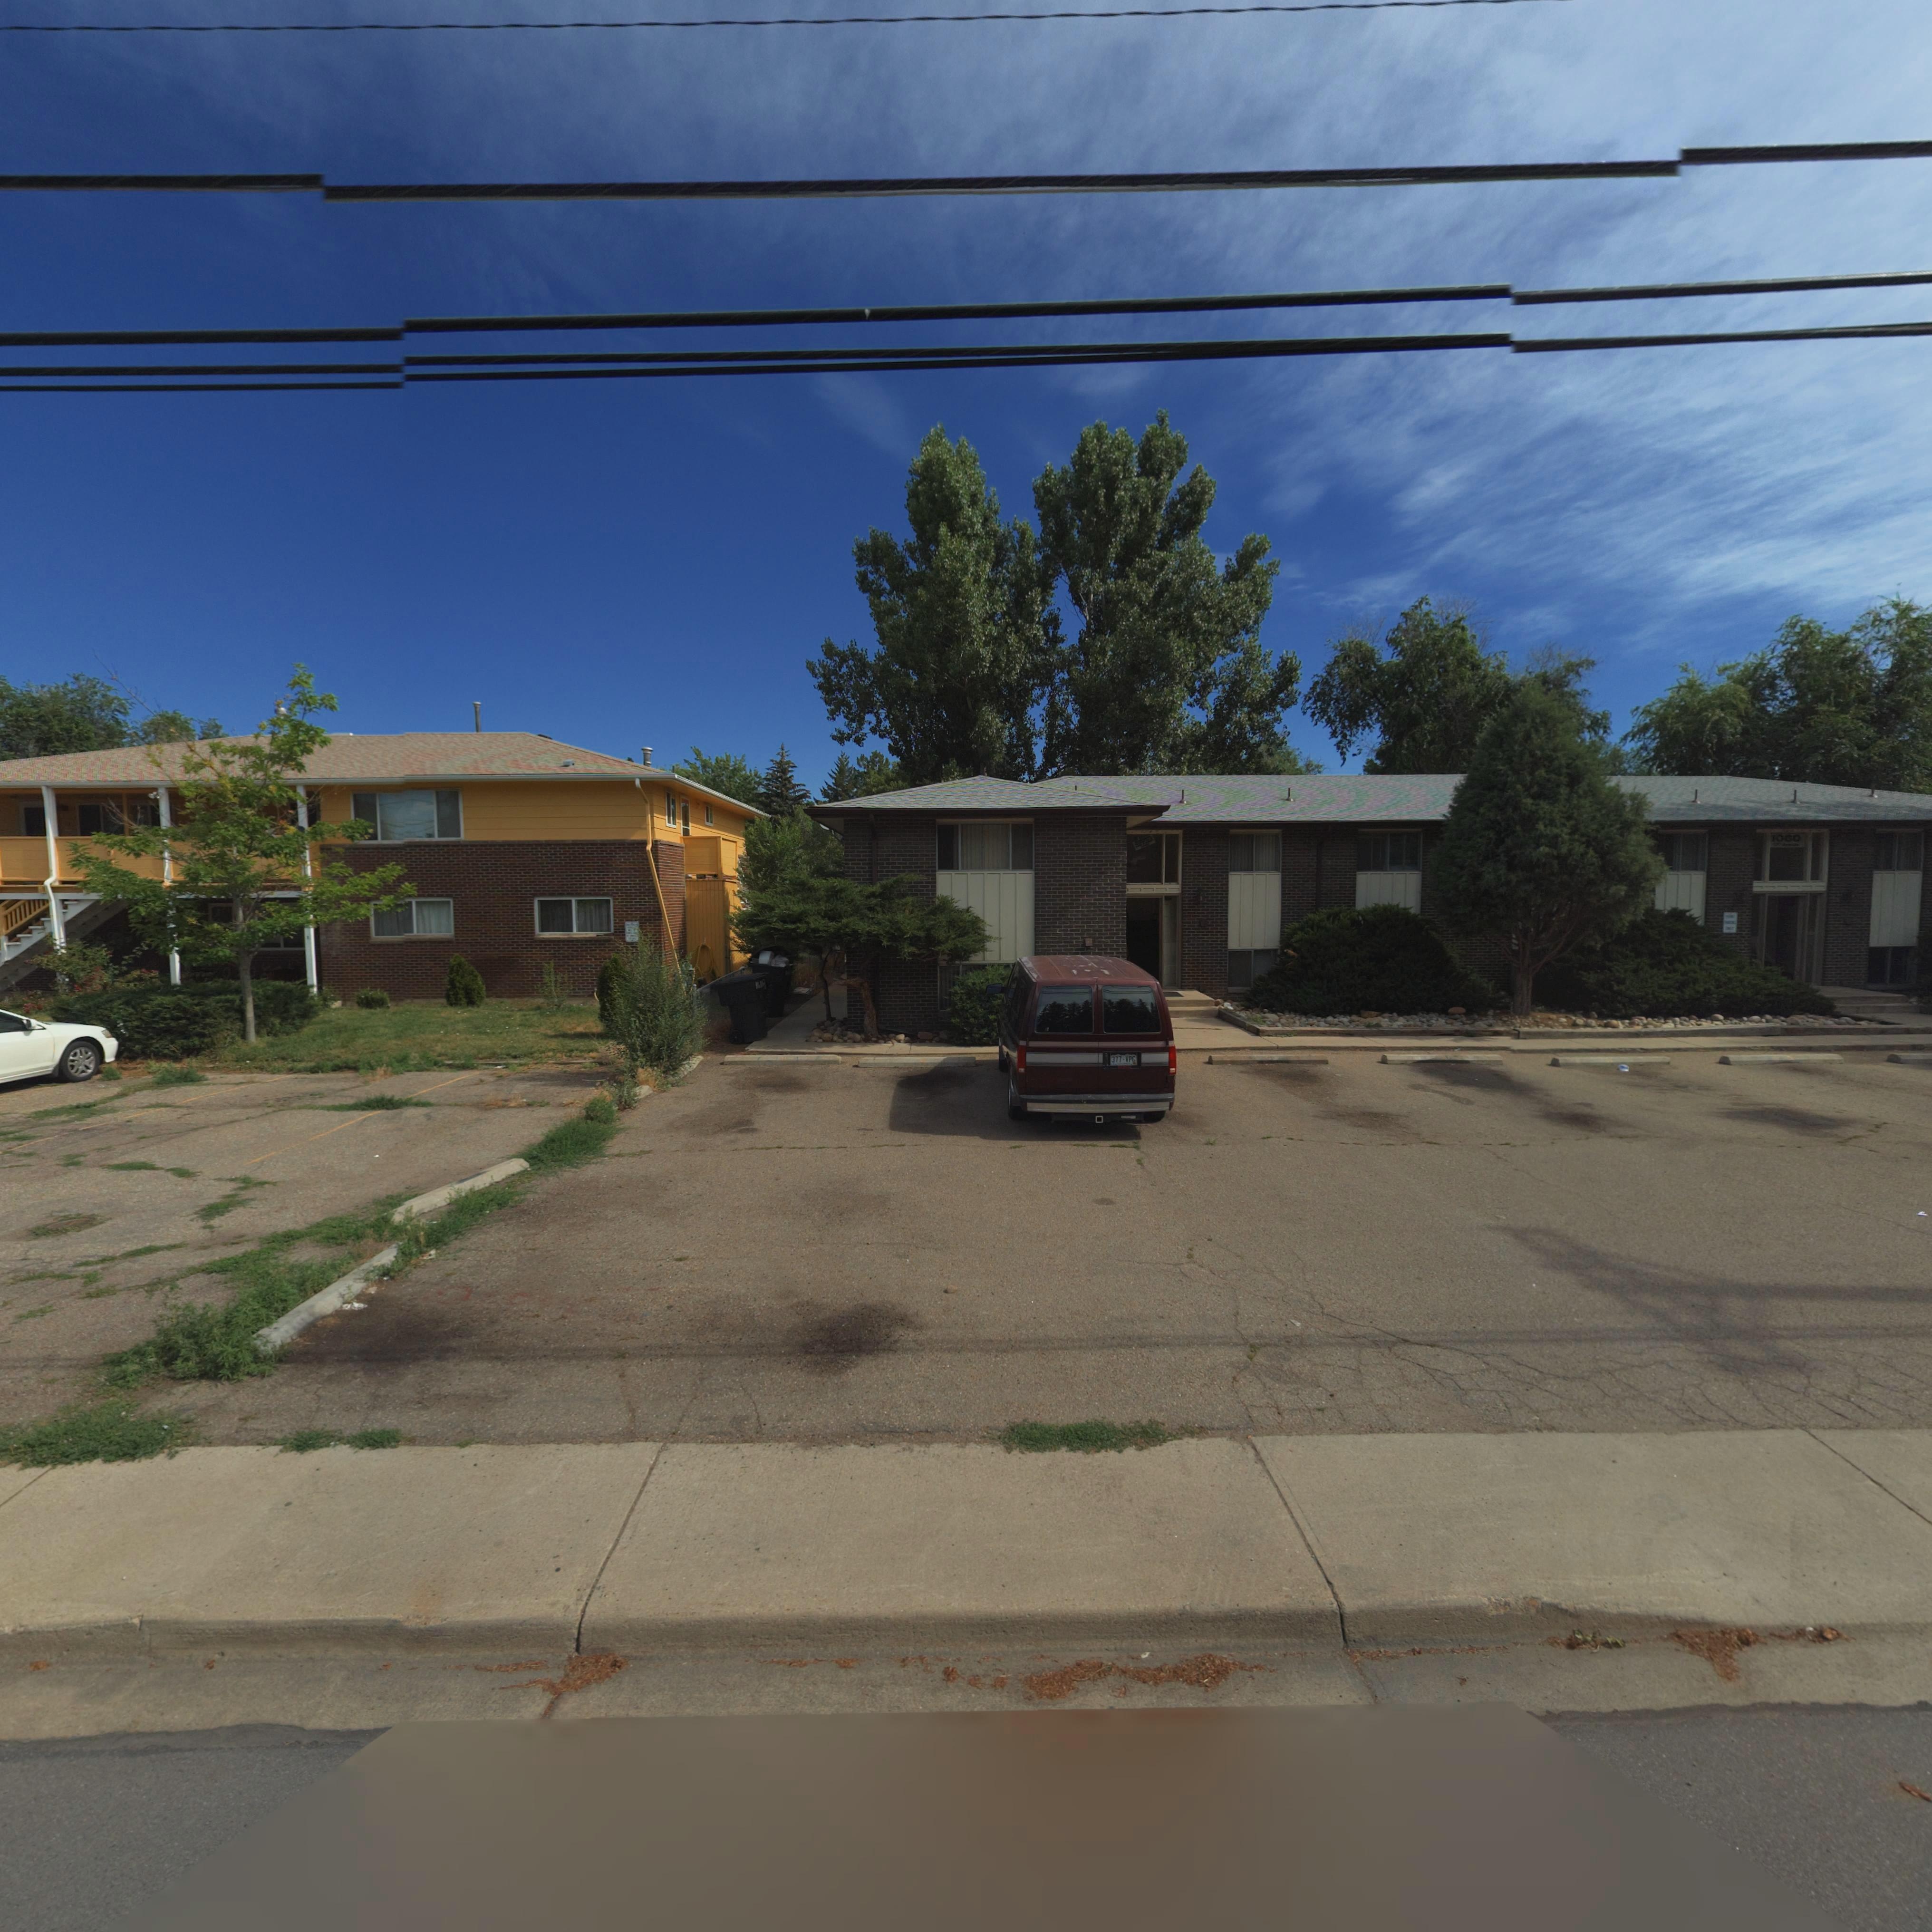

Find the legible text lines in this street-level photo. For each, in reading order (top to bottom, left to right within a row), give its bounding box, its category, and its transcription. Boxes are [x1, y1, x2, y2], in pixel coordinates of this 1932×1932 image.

[1771, 833, 1801, 842] StreetNumber: 1060